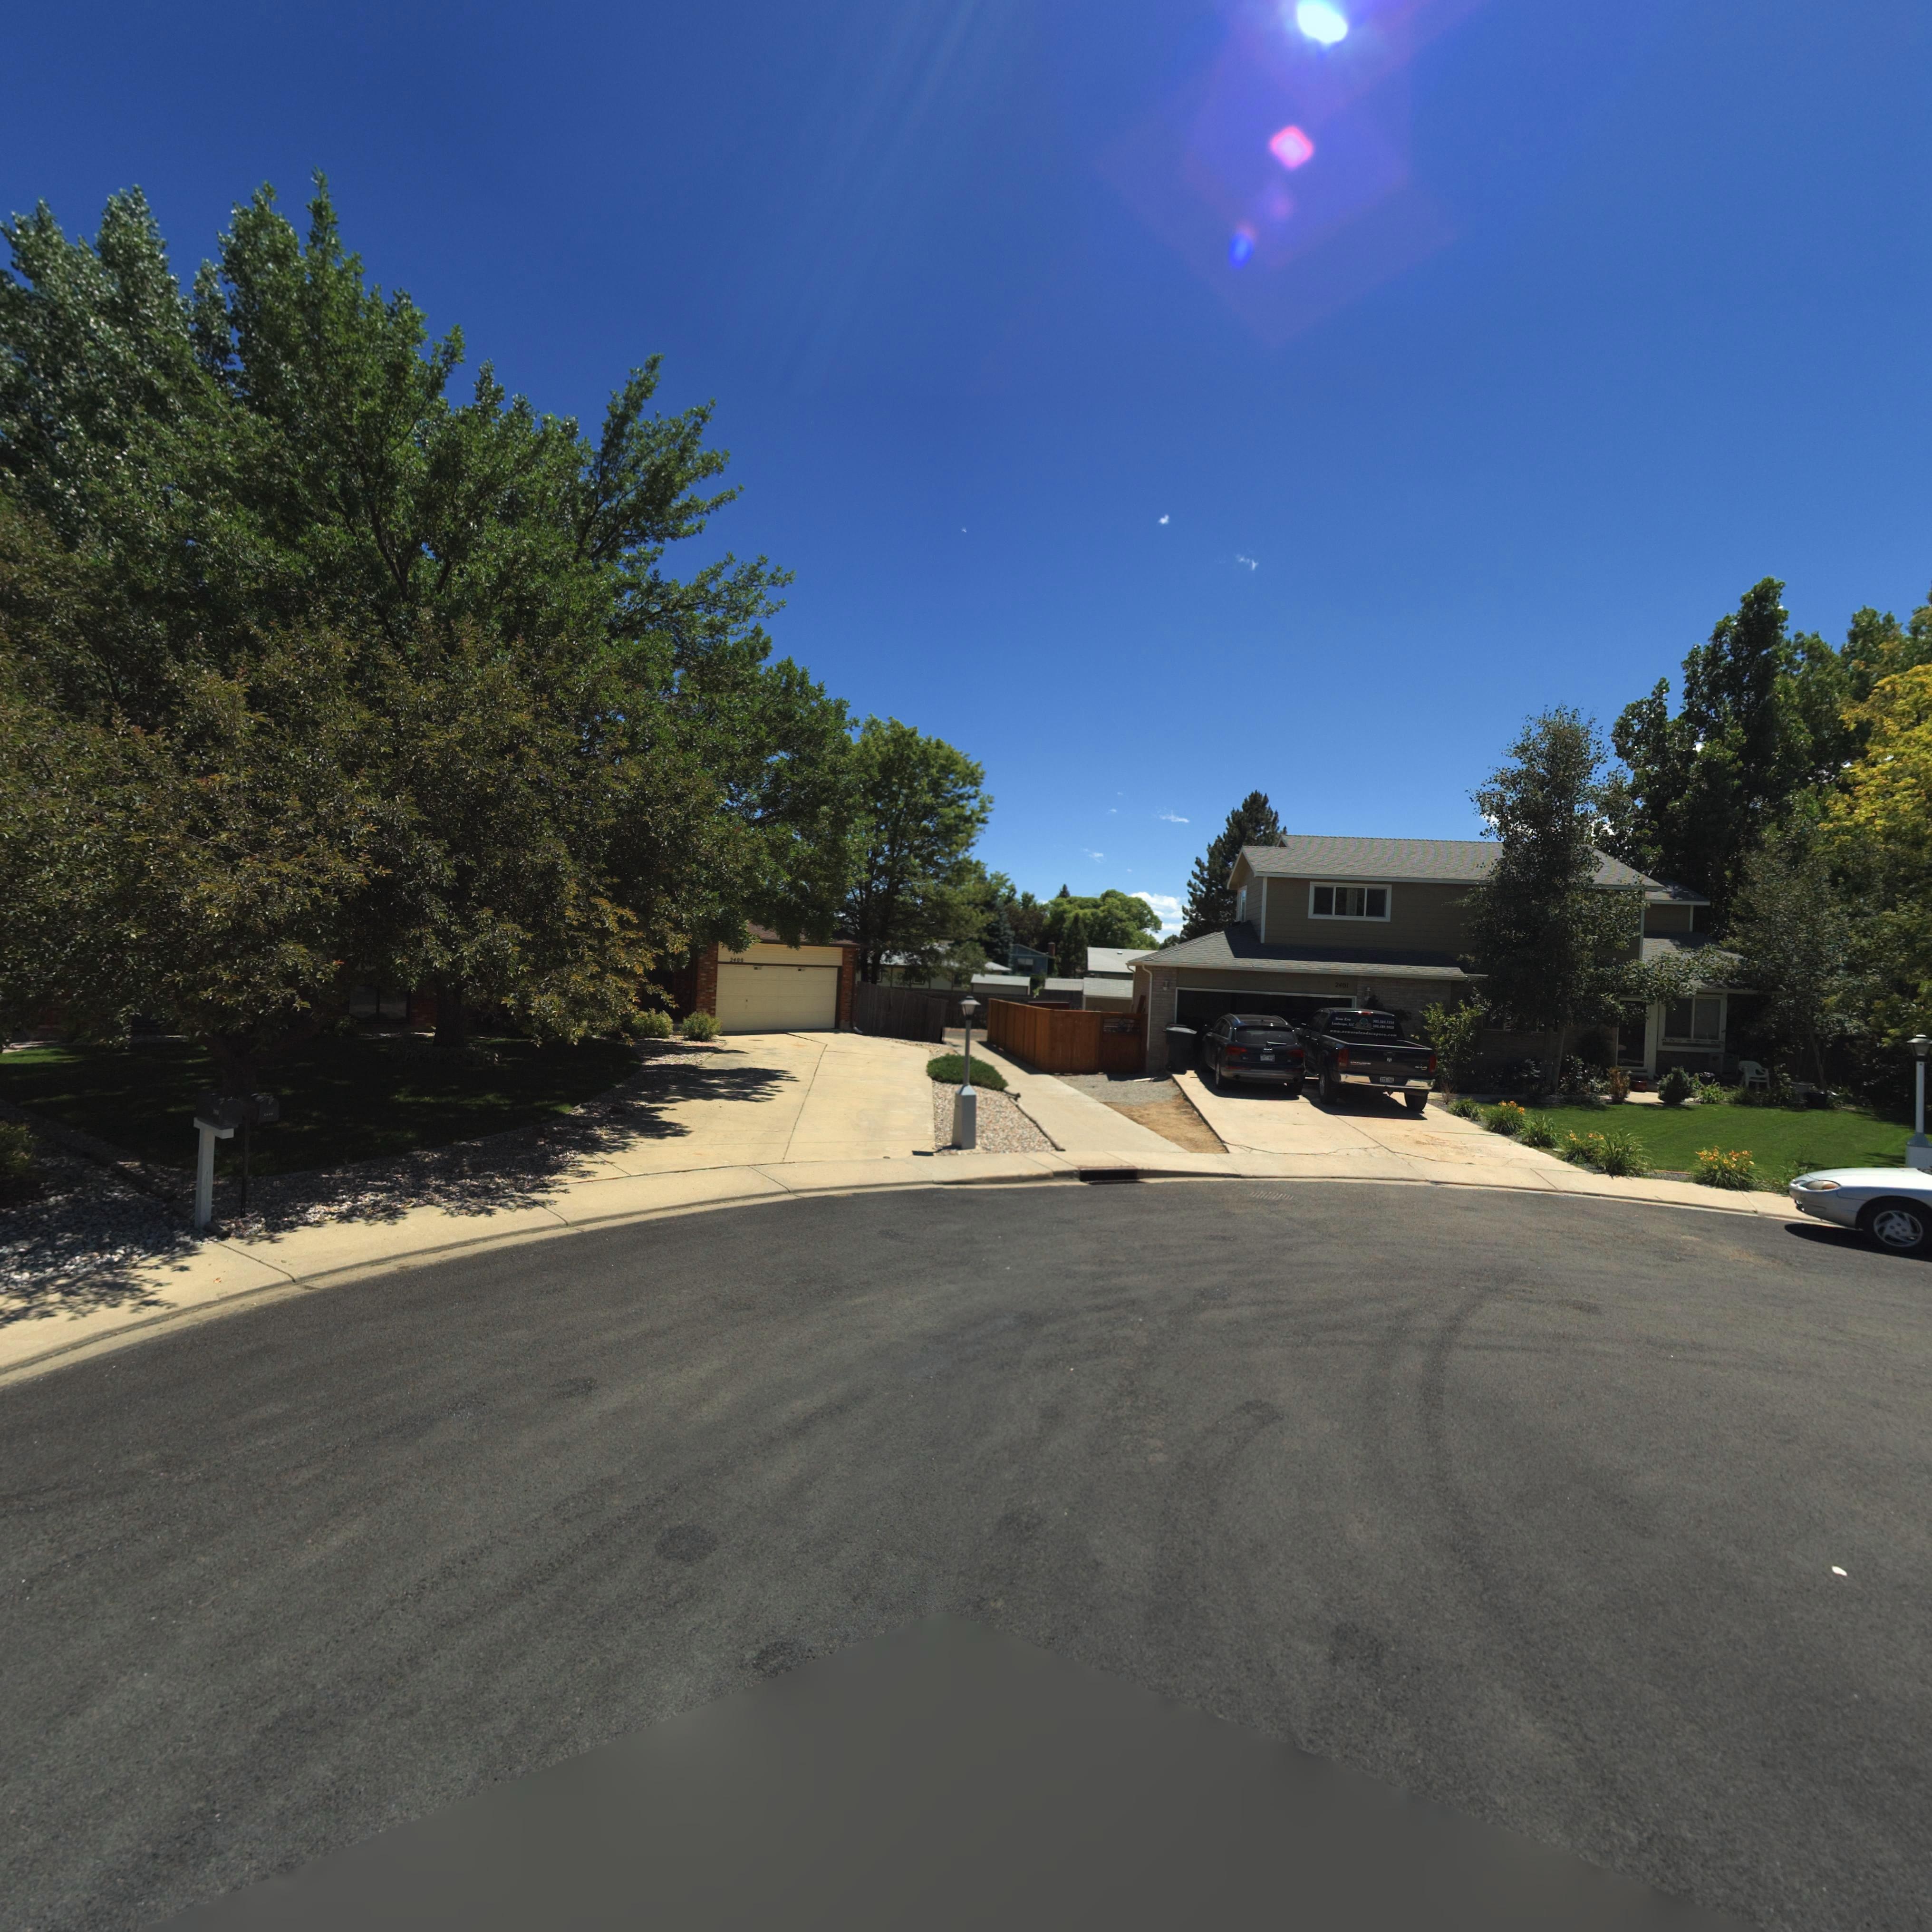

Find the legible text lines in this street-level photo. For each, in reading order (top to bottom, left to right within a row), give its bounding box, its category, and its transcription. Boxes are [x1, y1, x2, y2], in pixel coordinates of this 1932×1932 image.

[729, 957, 744, 963] StreetNumber: 2400
[1334, 981, 1349, 988] StreetNumber: 2401